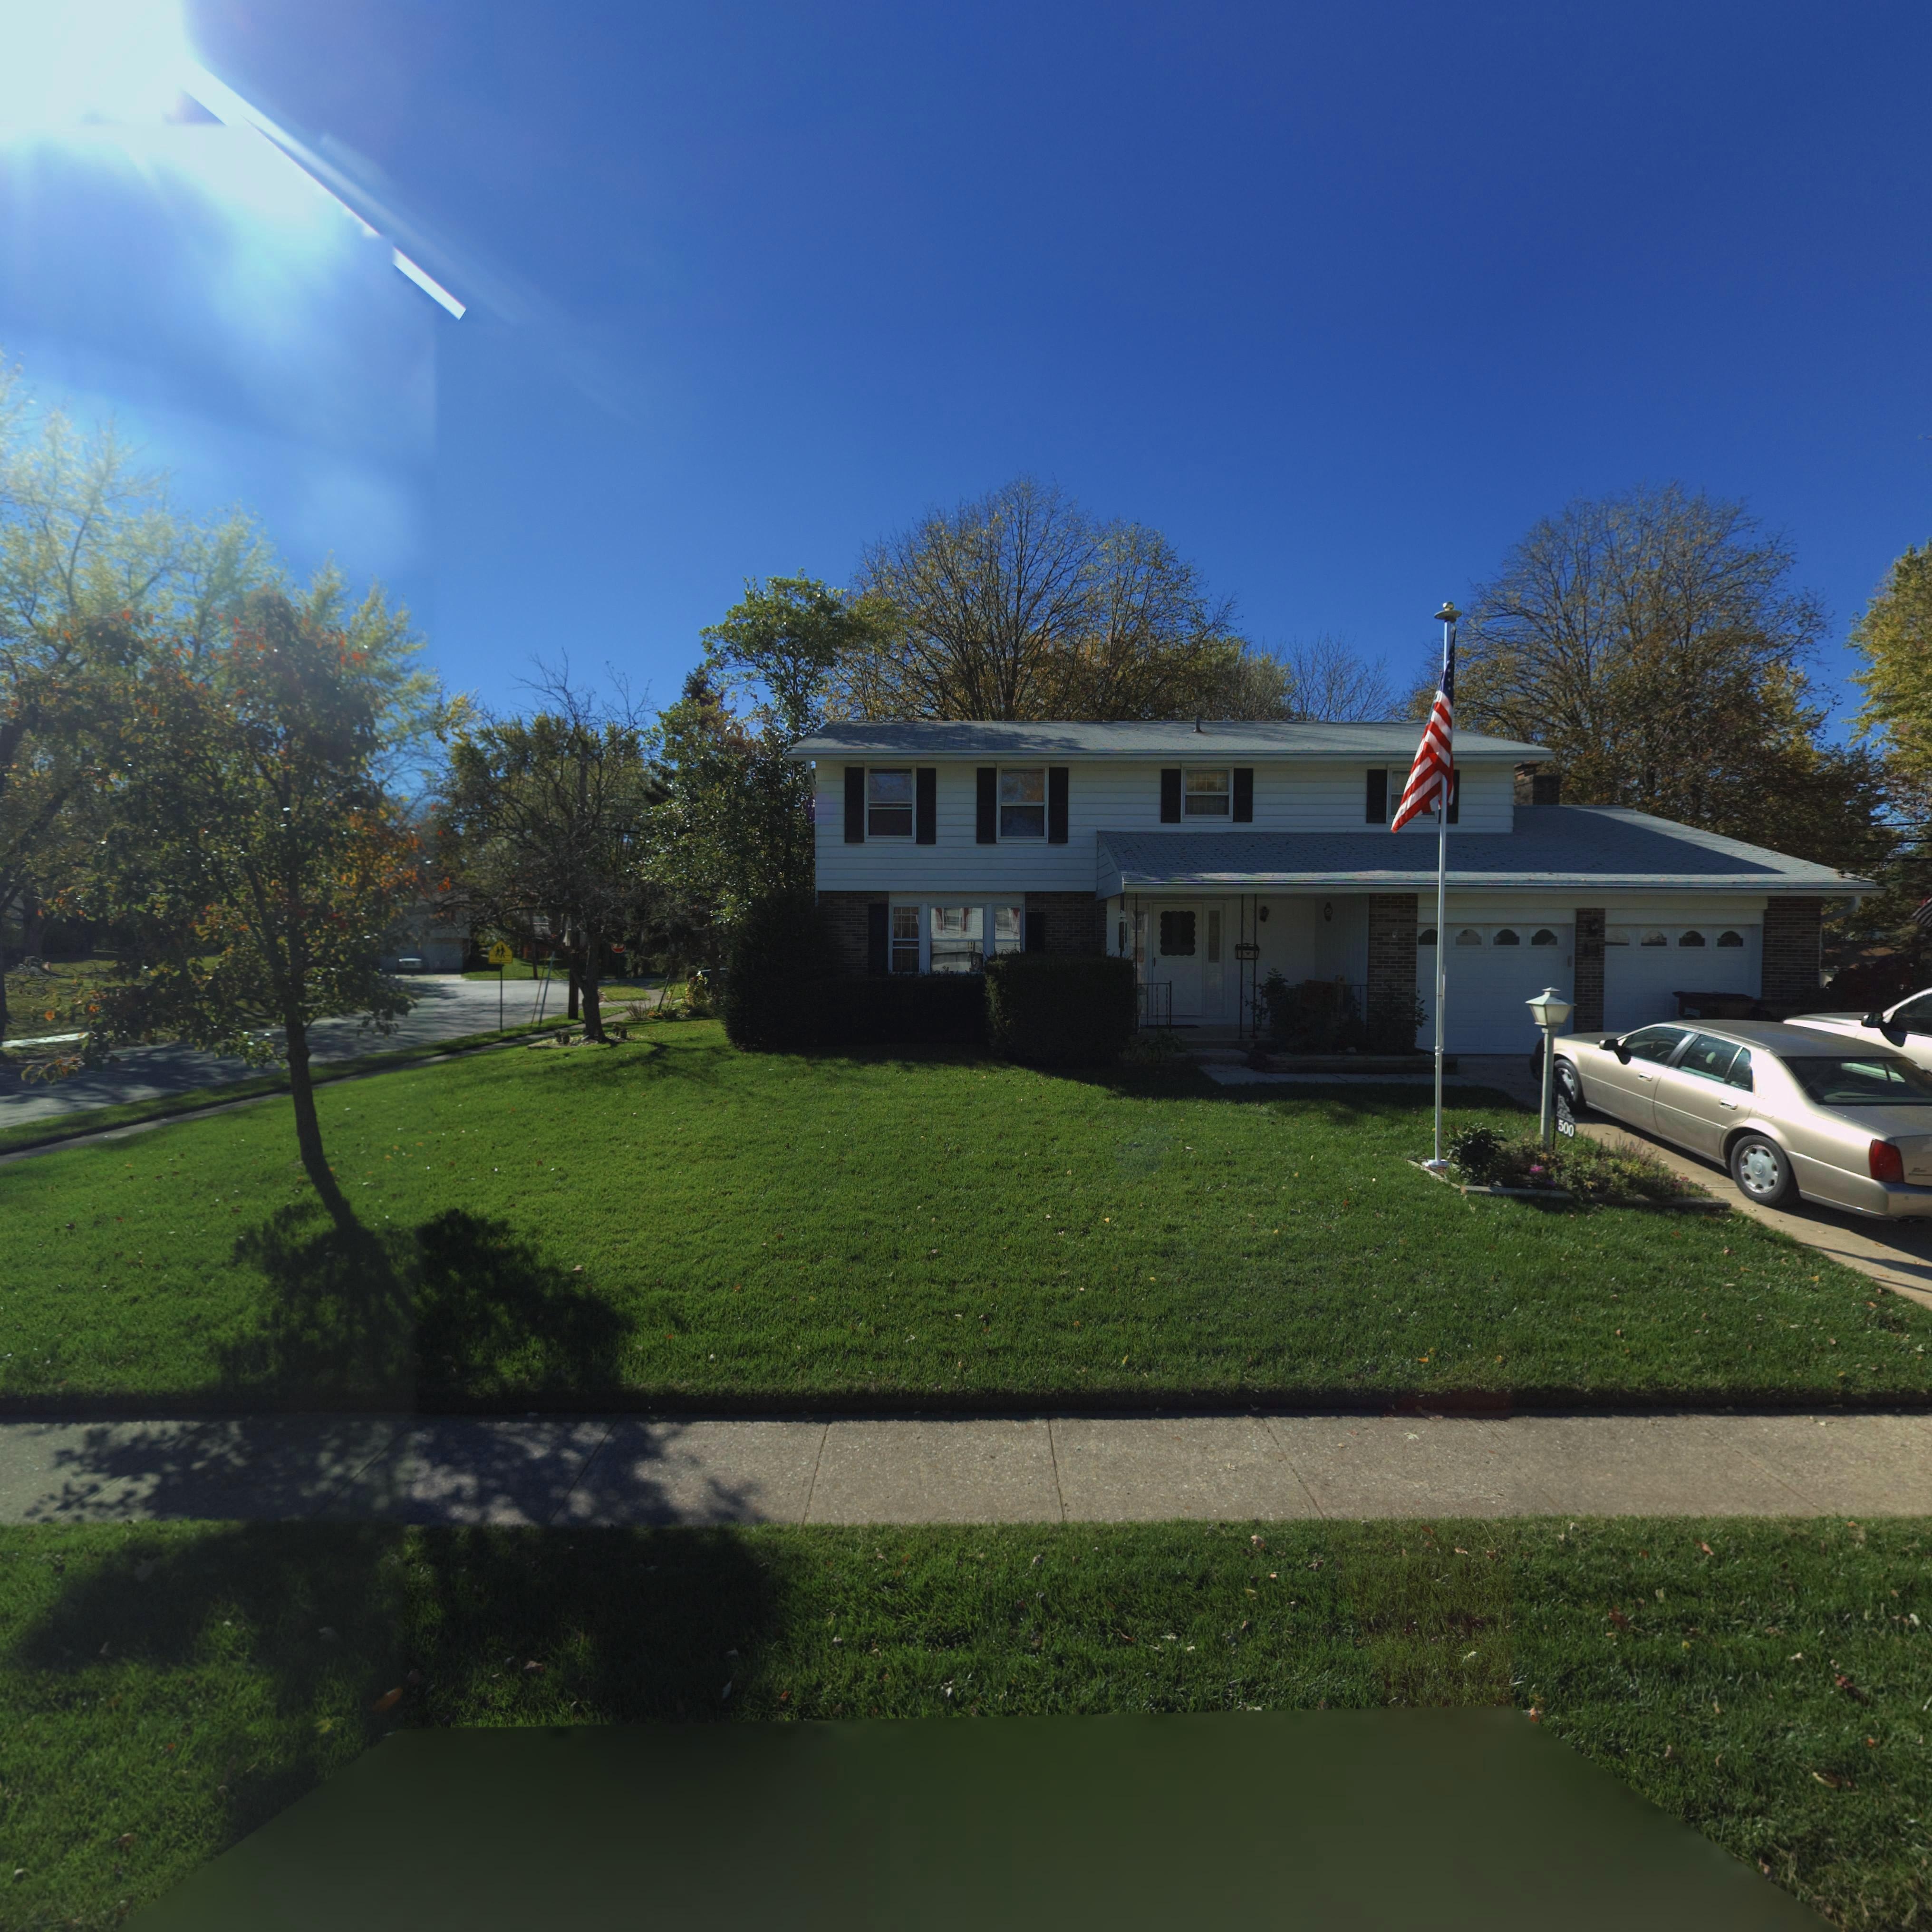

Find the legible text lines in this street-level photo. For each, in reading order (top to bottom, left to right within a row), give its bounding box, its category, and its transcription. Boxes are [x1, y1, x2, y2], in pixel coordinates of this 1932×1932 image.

[1557, 1118, 1575, 1139] StreetNumber: 500